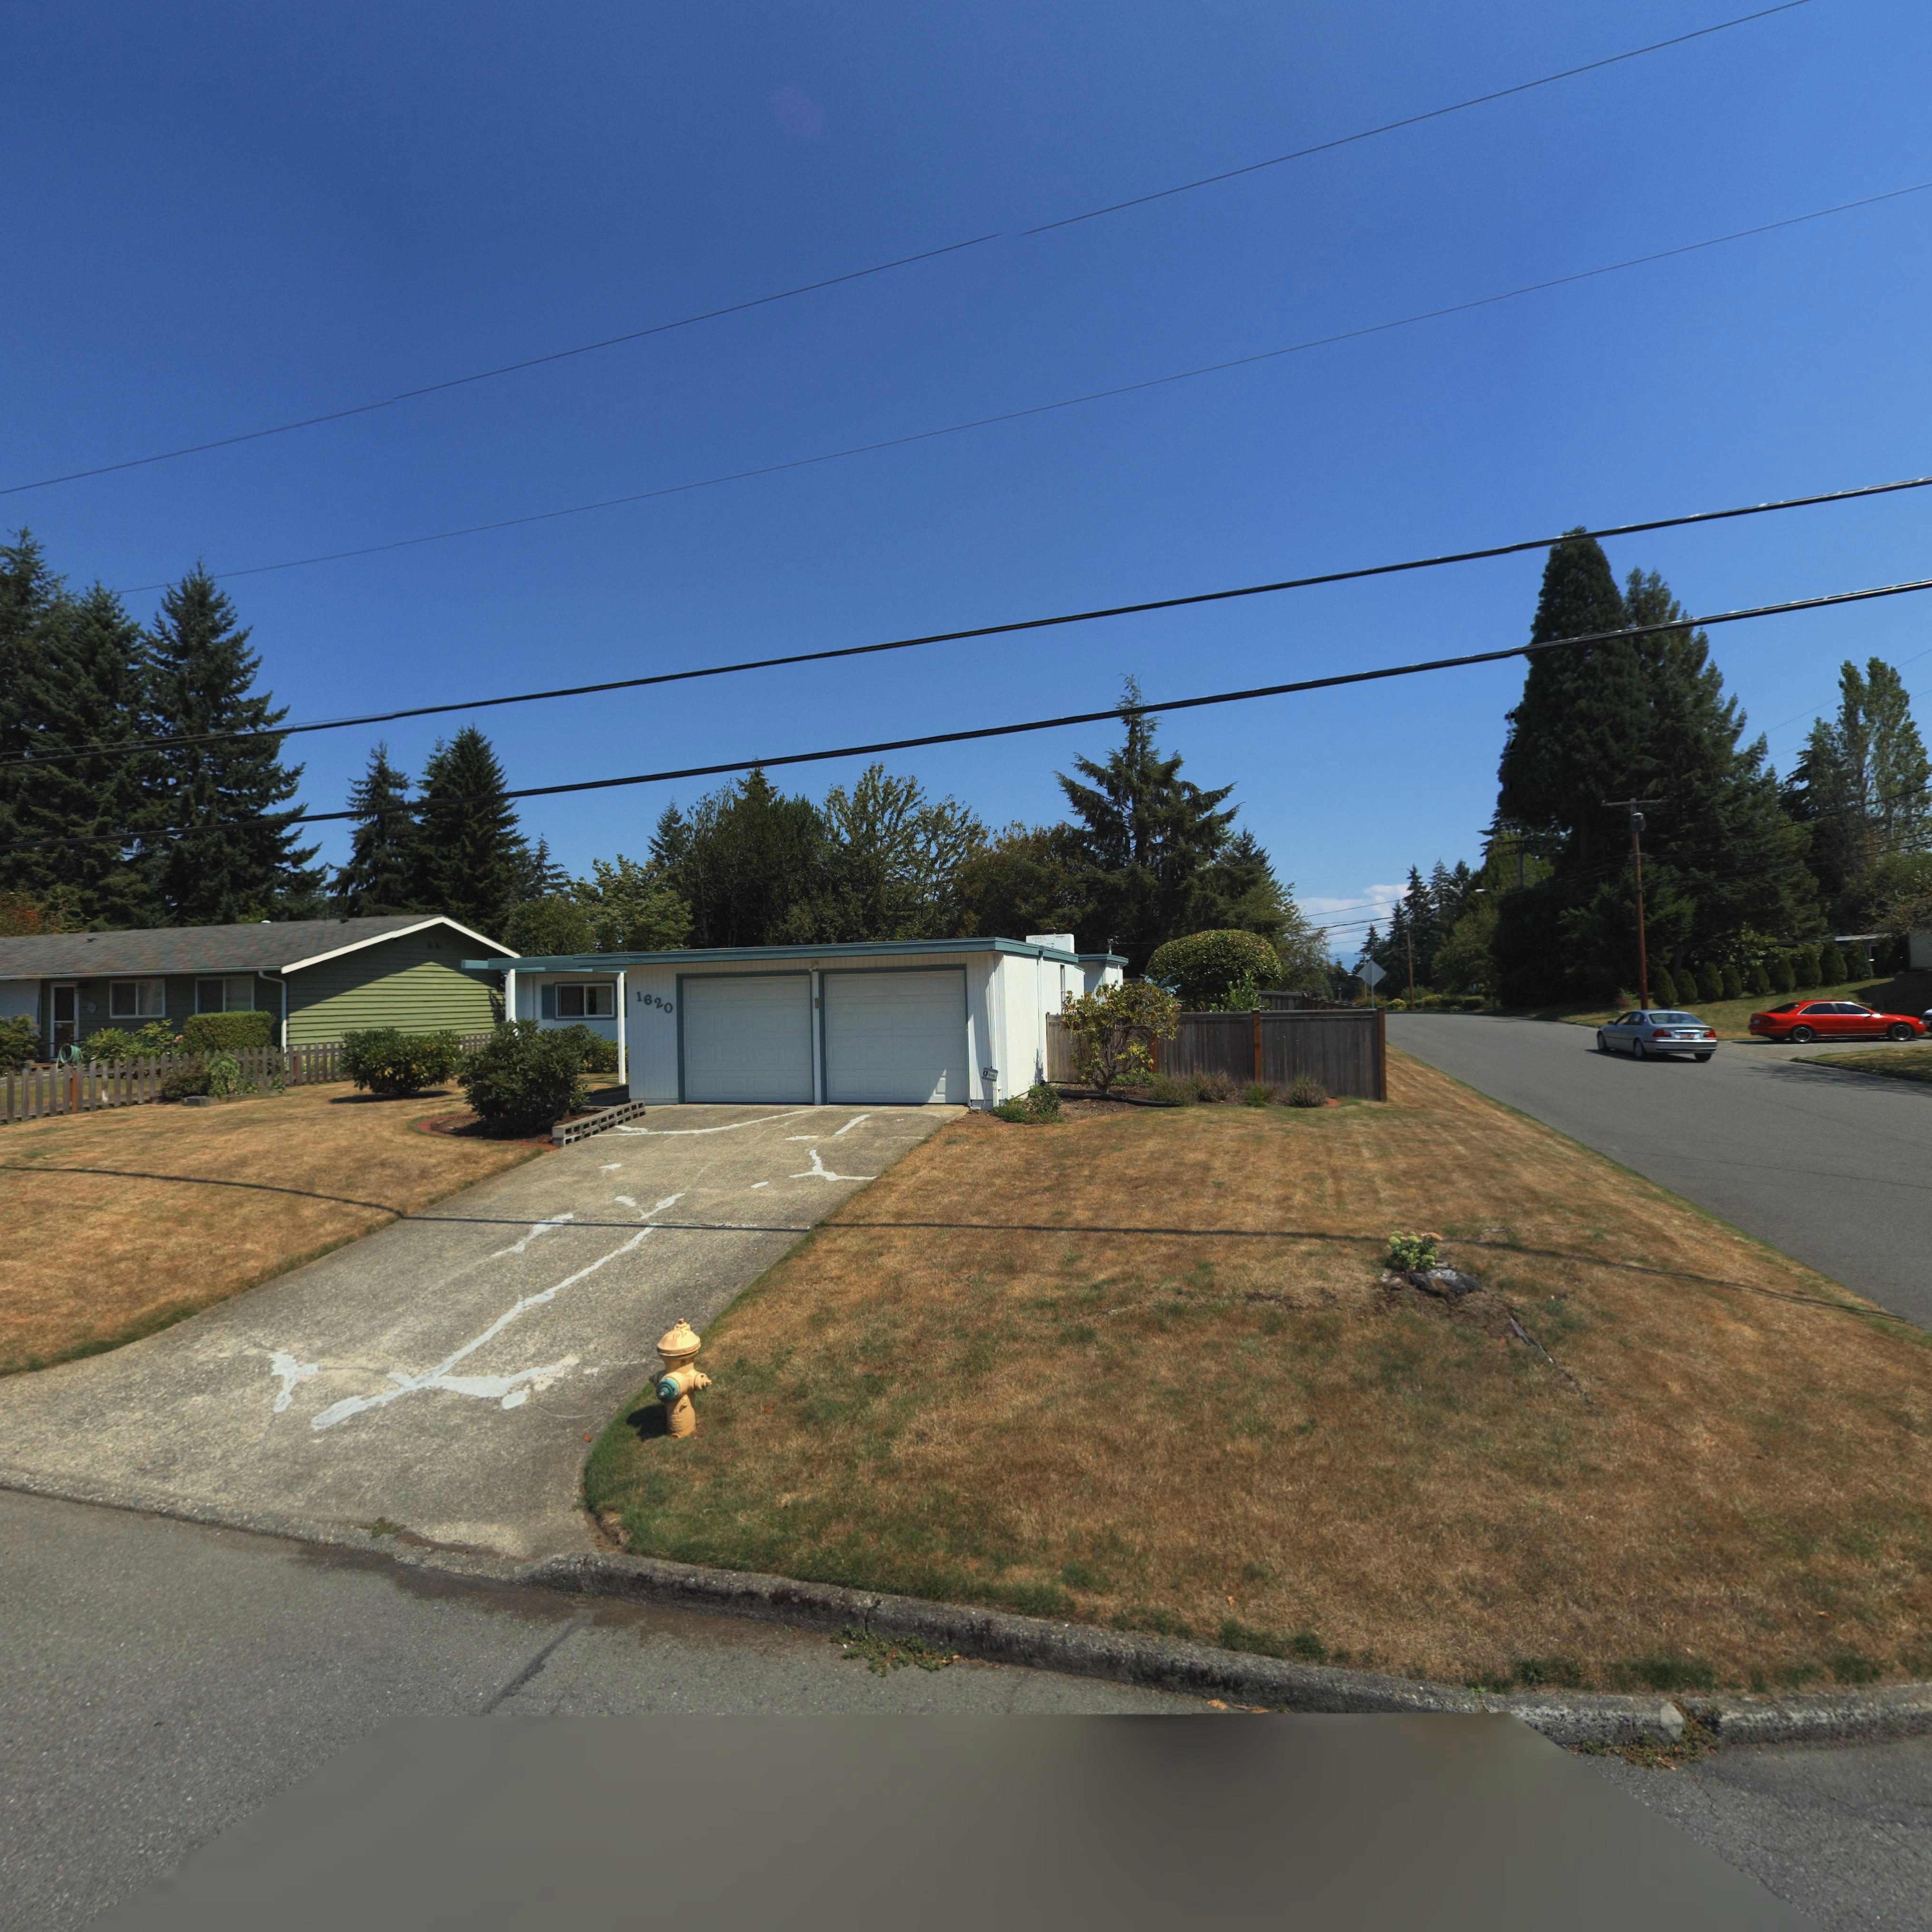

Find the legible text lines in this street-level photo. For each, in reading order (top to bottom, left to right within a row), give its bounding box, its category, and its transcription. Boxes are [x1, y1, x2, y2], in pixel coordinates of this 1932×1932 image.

[635, 991, 674, 1014] StreetNumber: 1620